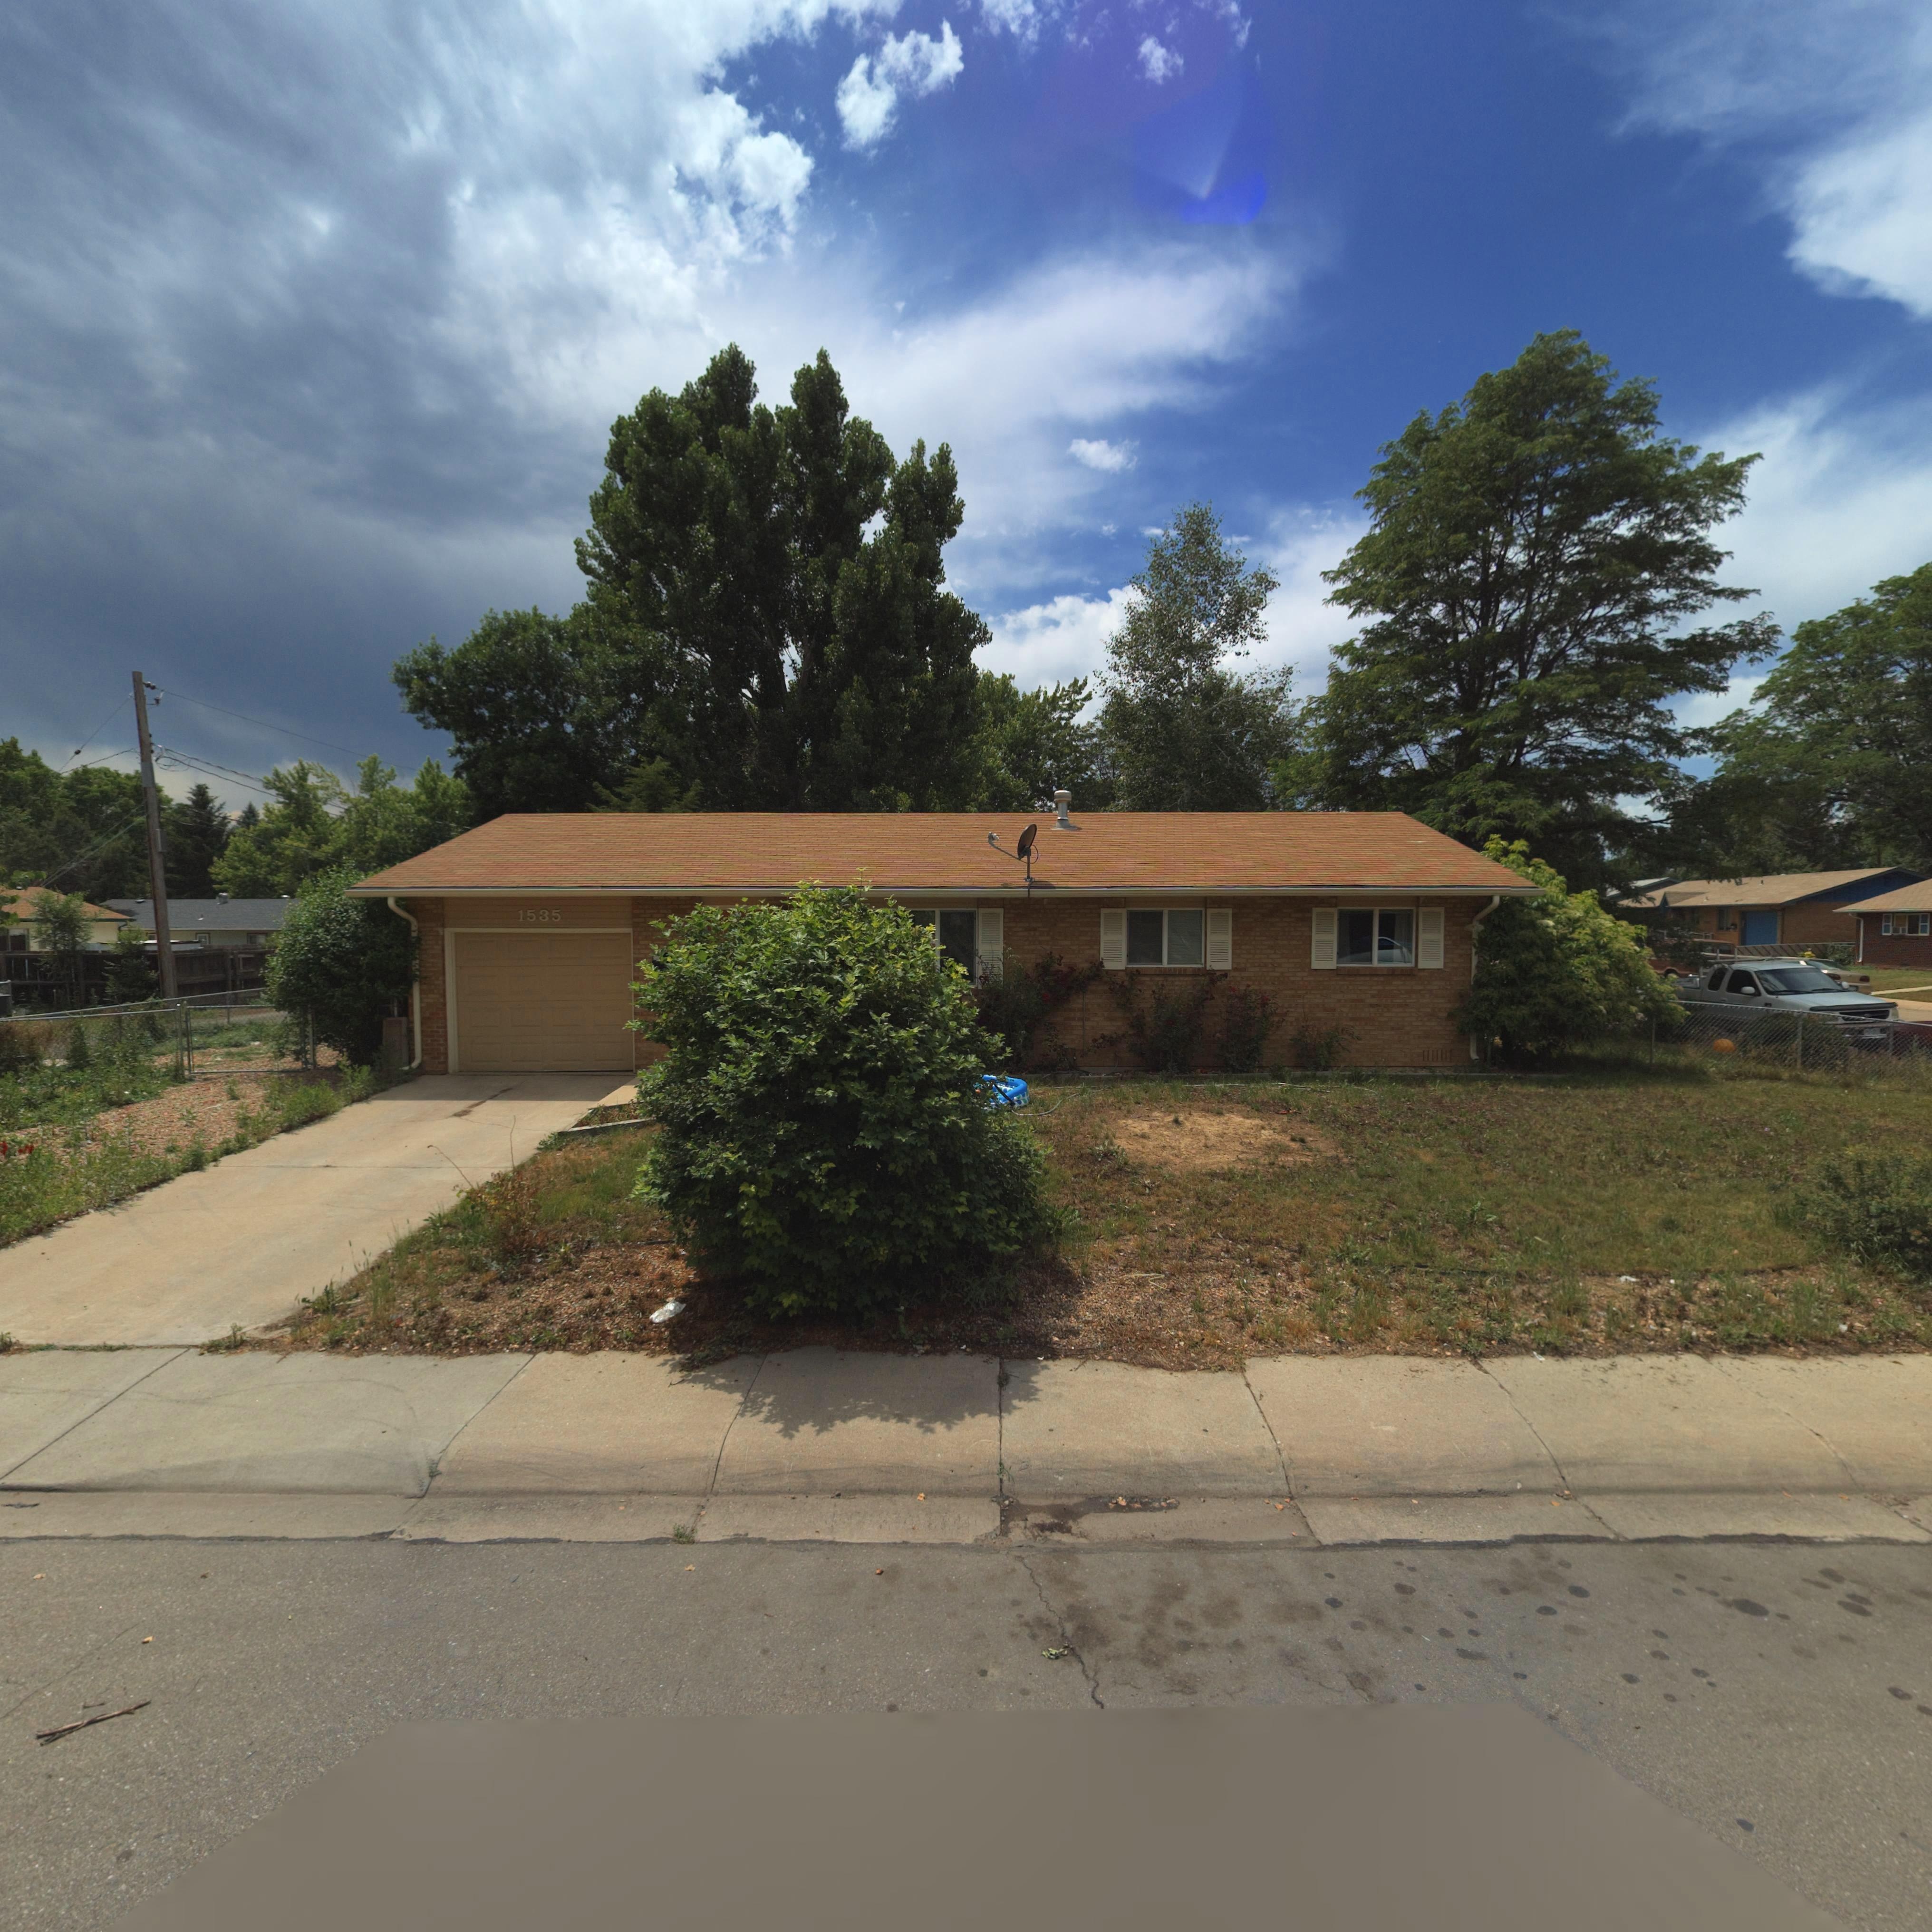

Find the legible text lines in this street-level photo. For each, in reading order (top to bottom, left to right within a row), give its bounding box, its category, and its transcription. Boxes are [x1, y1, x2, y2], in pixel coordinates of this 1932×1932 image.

[517, 908, 561, 922] StreetNumber: 1535